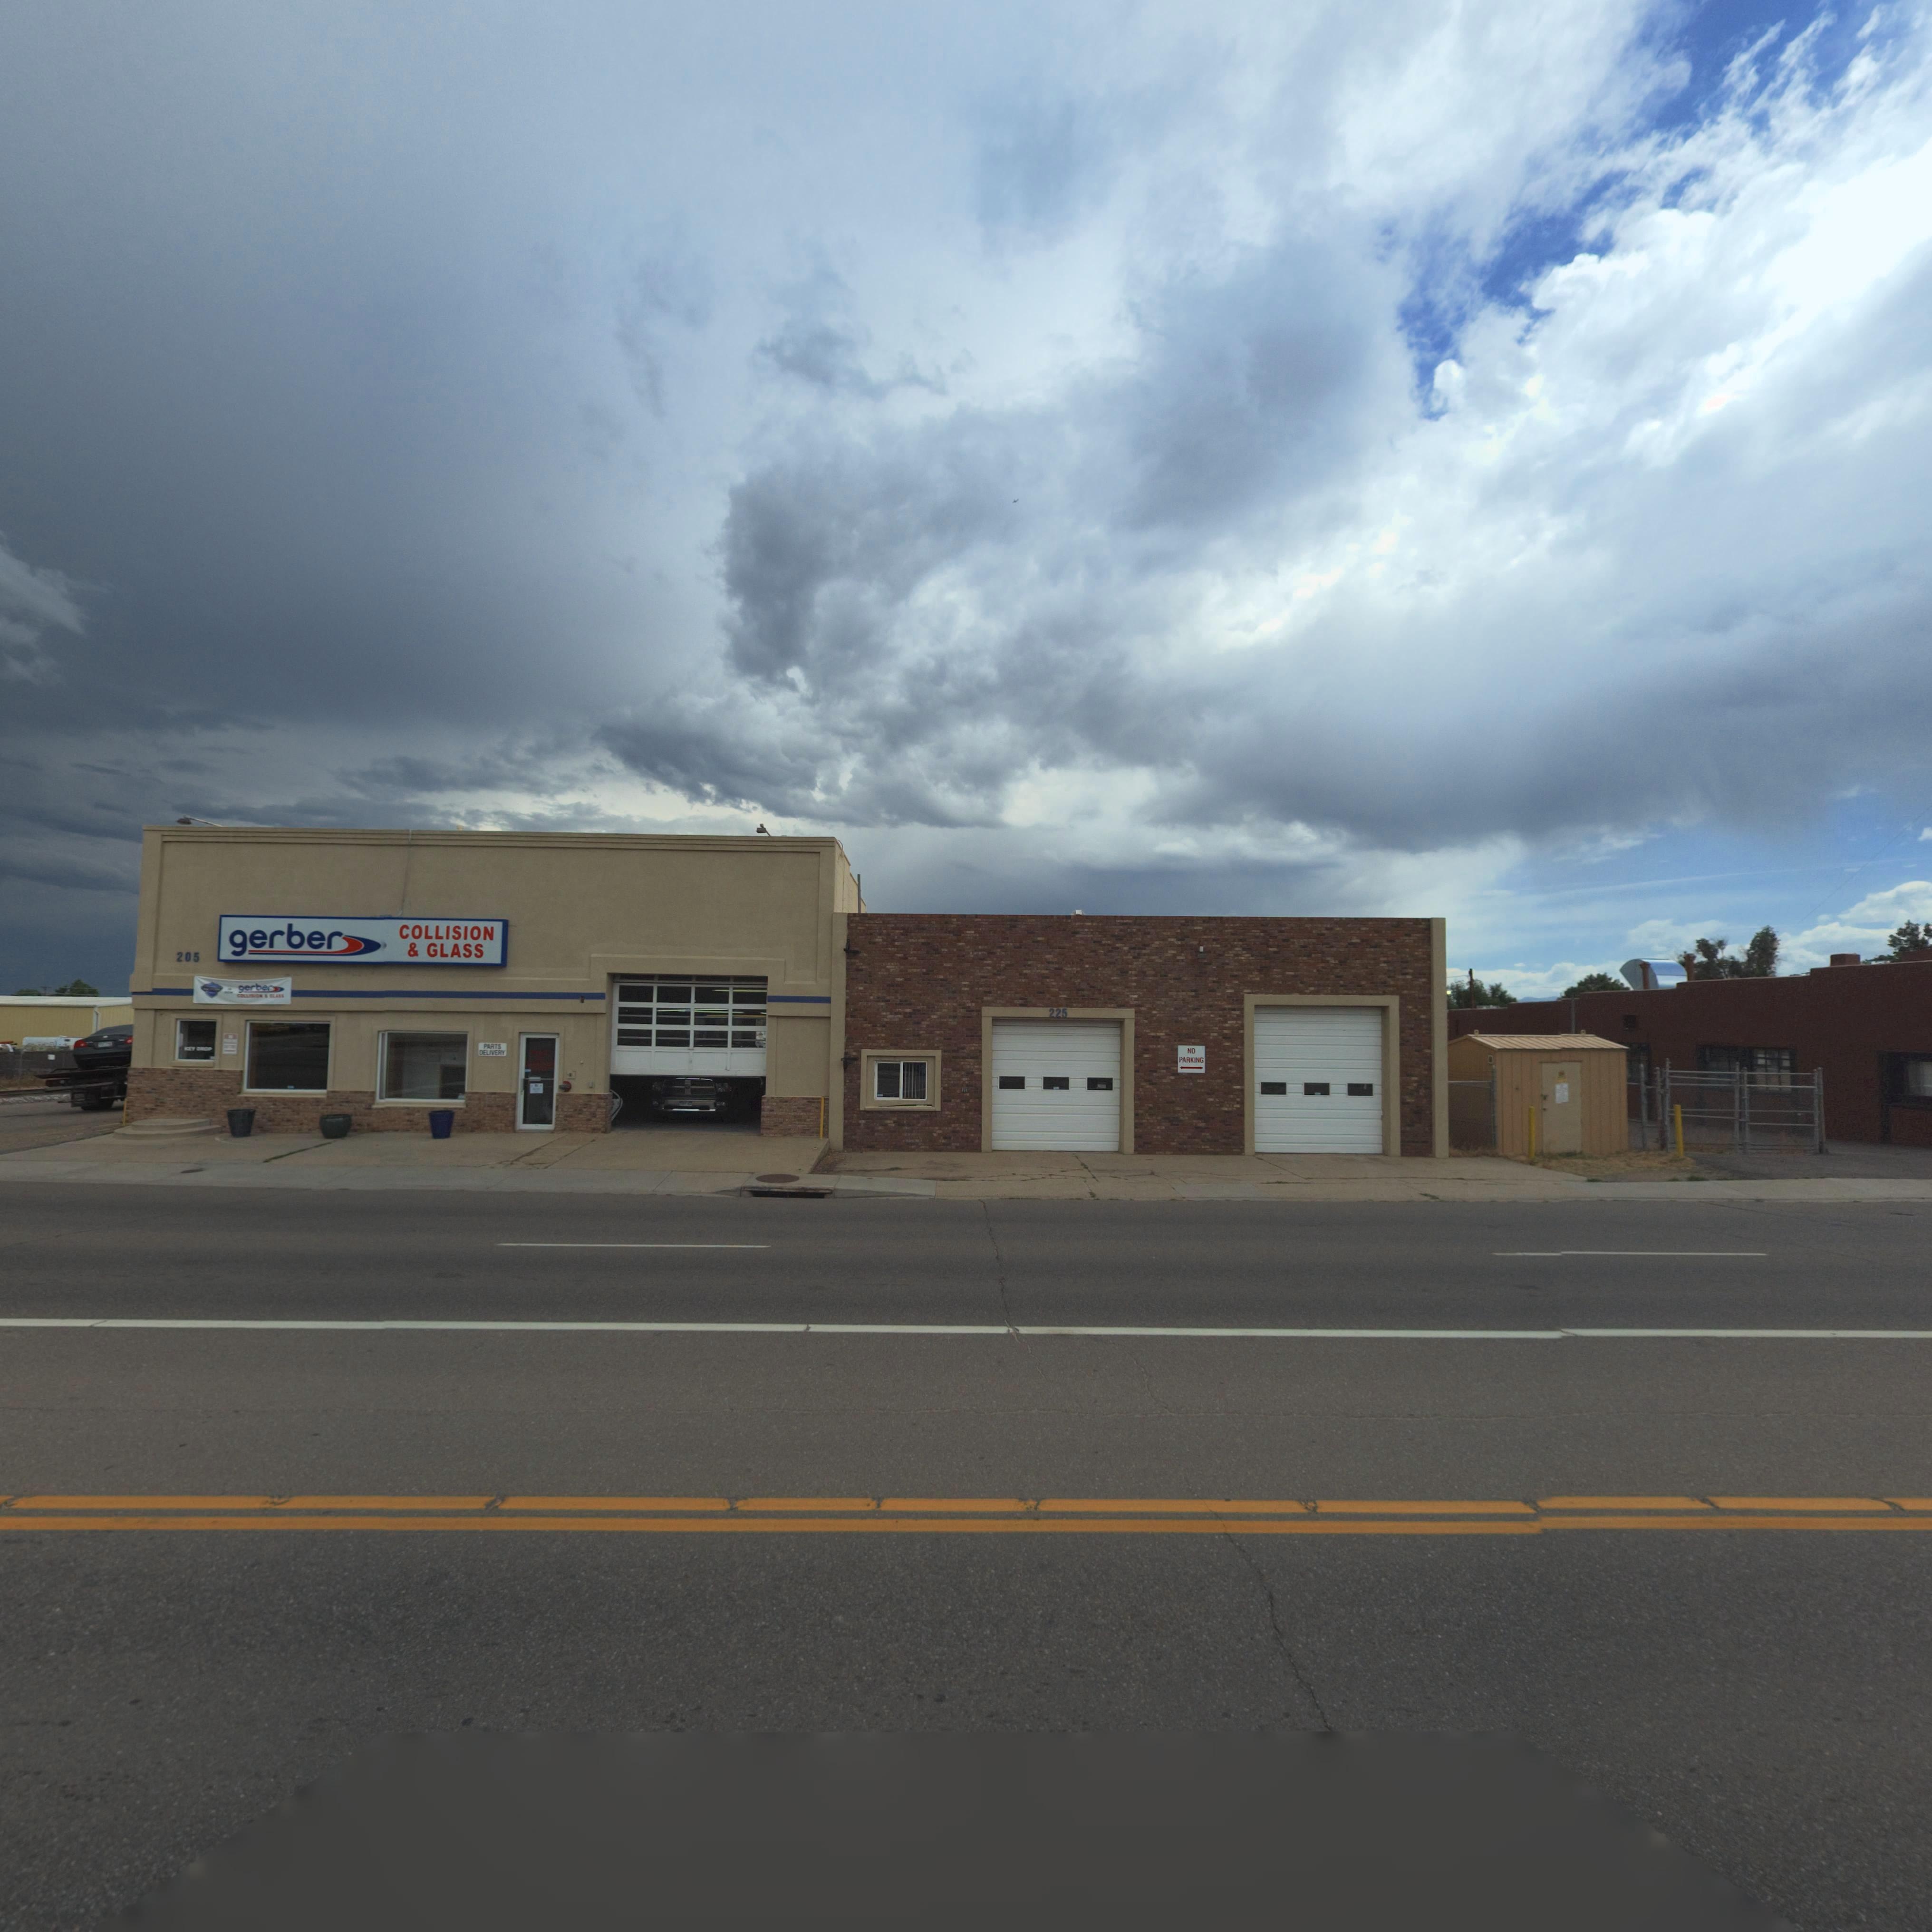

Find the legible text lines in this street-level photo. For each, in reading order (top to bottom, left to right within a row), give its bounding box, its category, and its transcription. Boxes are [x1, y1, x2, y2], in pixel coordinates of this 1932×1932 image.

[397, 924, 494, 941] BusinessName: COLLISION
[228, 922, 343, 957] BusinessName: gerber
[406, 941, 484, 958] BusinessName: * GLASS
[175, 951, 200, 963] StreetNumber: 205
[237, 982, 273, 993] BusinessName: gerber
[236, 993, 284, 998] BusinessName: COLLIS*ON * GLASS
[1049, 1007, 1067, 1018] StreetNumber: 225